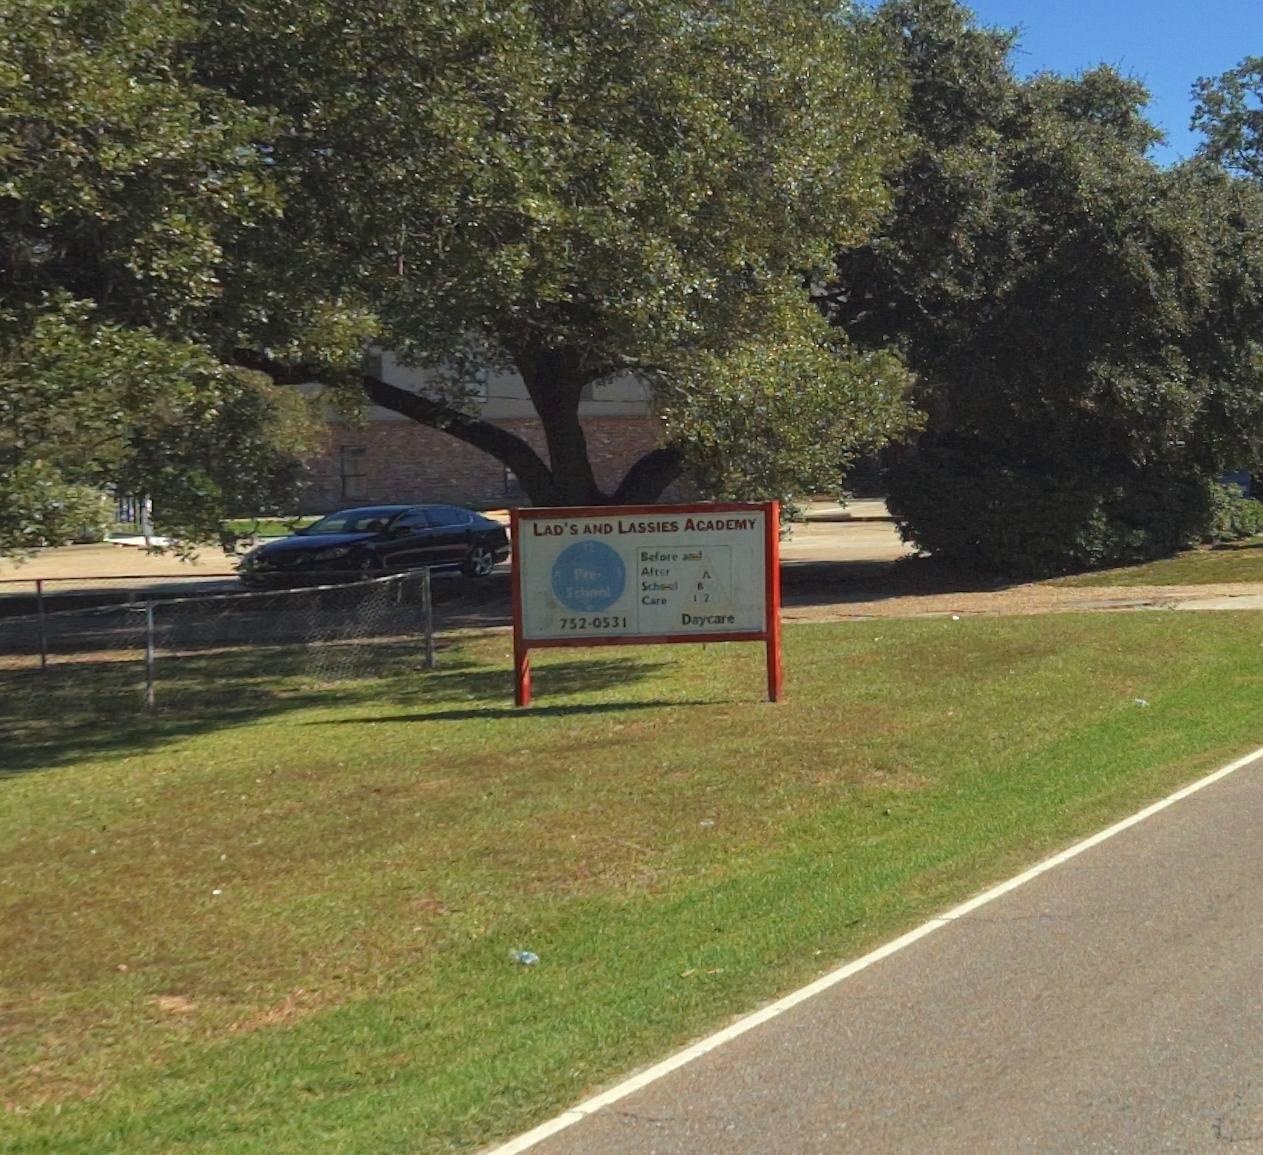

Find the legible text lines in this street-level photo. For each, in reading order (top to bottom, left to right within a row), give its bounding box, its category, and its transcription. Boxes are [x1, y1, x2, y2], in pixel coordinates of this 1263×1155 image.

[531, 517, 758, 537] BusinessName: LAD'S AND LASSIES ACADEMY
[582, 541, 598, 554] None: 12
[640, 549, 704, 563] None: Before and
[553, 569, 563, 585] None: 9
[572, 566, 598, 581] None: Pre
[613, 566, 626, 580] None: 3
[639, 566, 673, 578] None: After
[700, 568, 713, 580] None: A
[564, 584, 612, 600] None: School
[585, 600, 595, 612] None: 6
[641, 594, 669, 607] None: Care
[640, 579, 678, 593] None: School
[694, 581, 706, 592] None: B
[691, 592, 711, 604] None: 1 2
[558, 615, 629, 630] None: 752-0531
[681, 612, 736, 627] None: Daycare